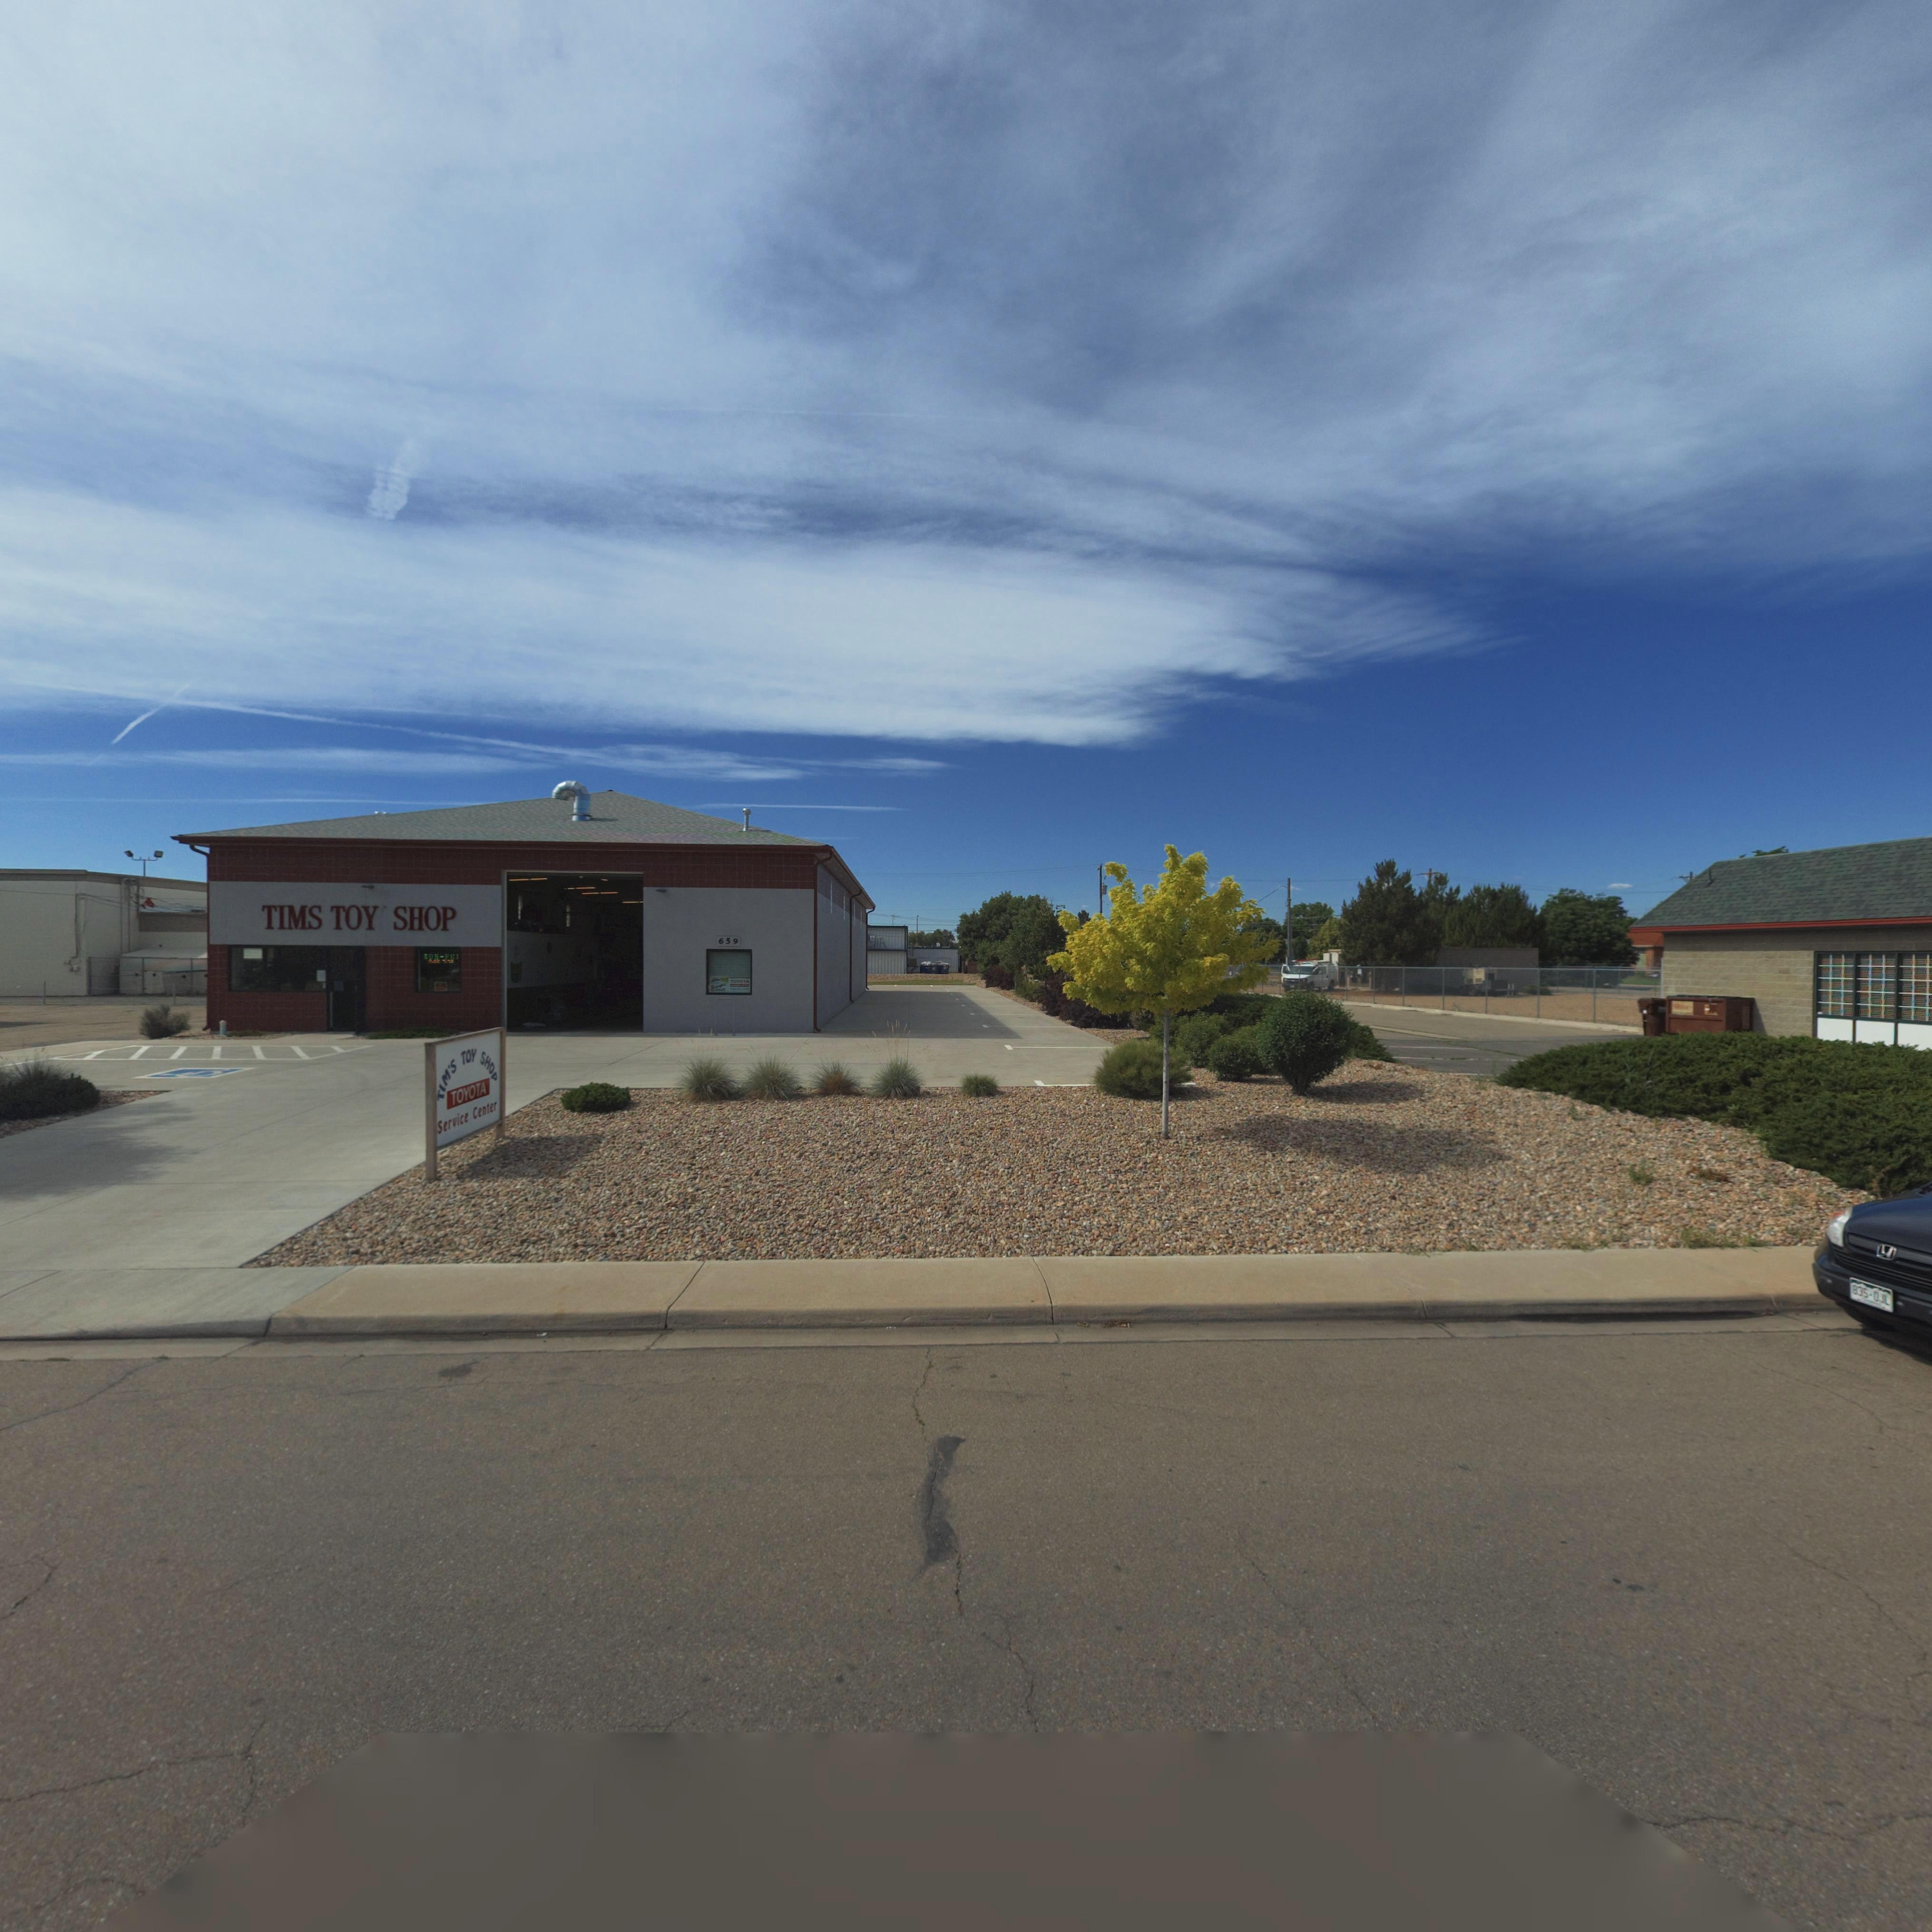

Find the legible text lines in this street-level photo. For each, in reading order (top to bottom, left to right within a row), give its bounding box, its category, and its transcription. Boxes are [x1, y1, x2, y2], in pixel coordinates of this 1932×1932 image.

[261, 903, 457, 931] BusinessName: TIMS TOY SHOP
[718, 937, 738, 944] StreetNumber: 659
[436, 1048, 498, 1101] BusinessName: TIM'S TOY SHOP